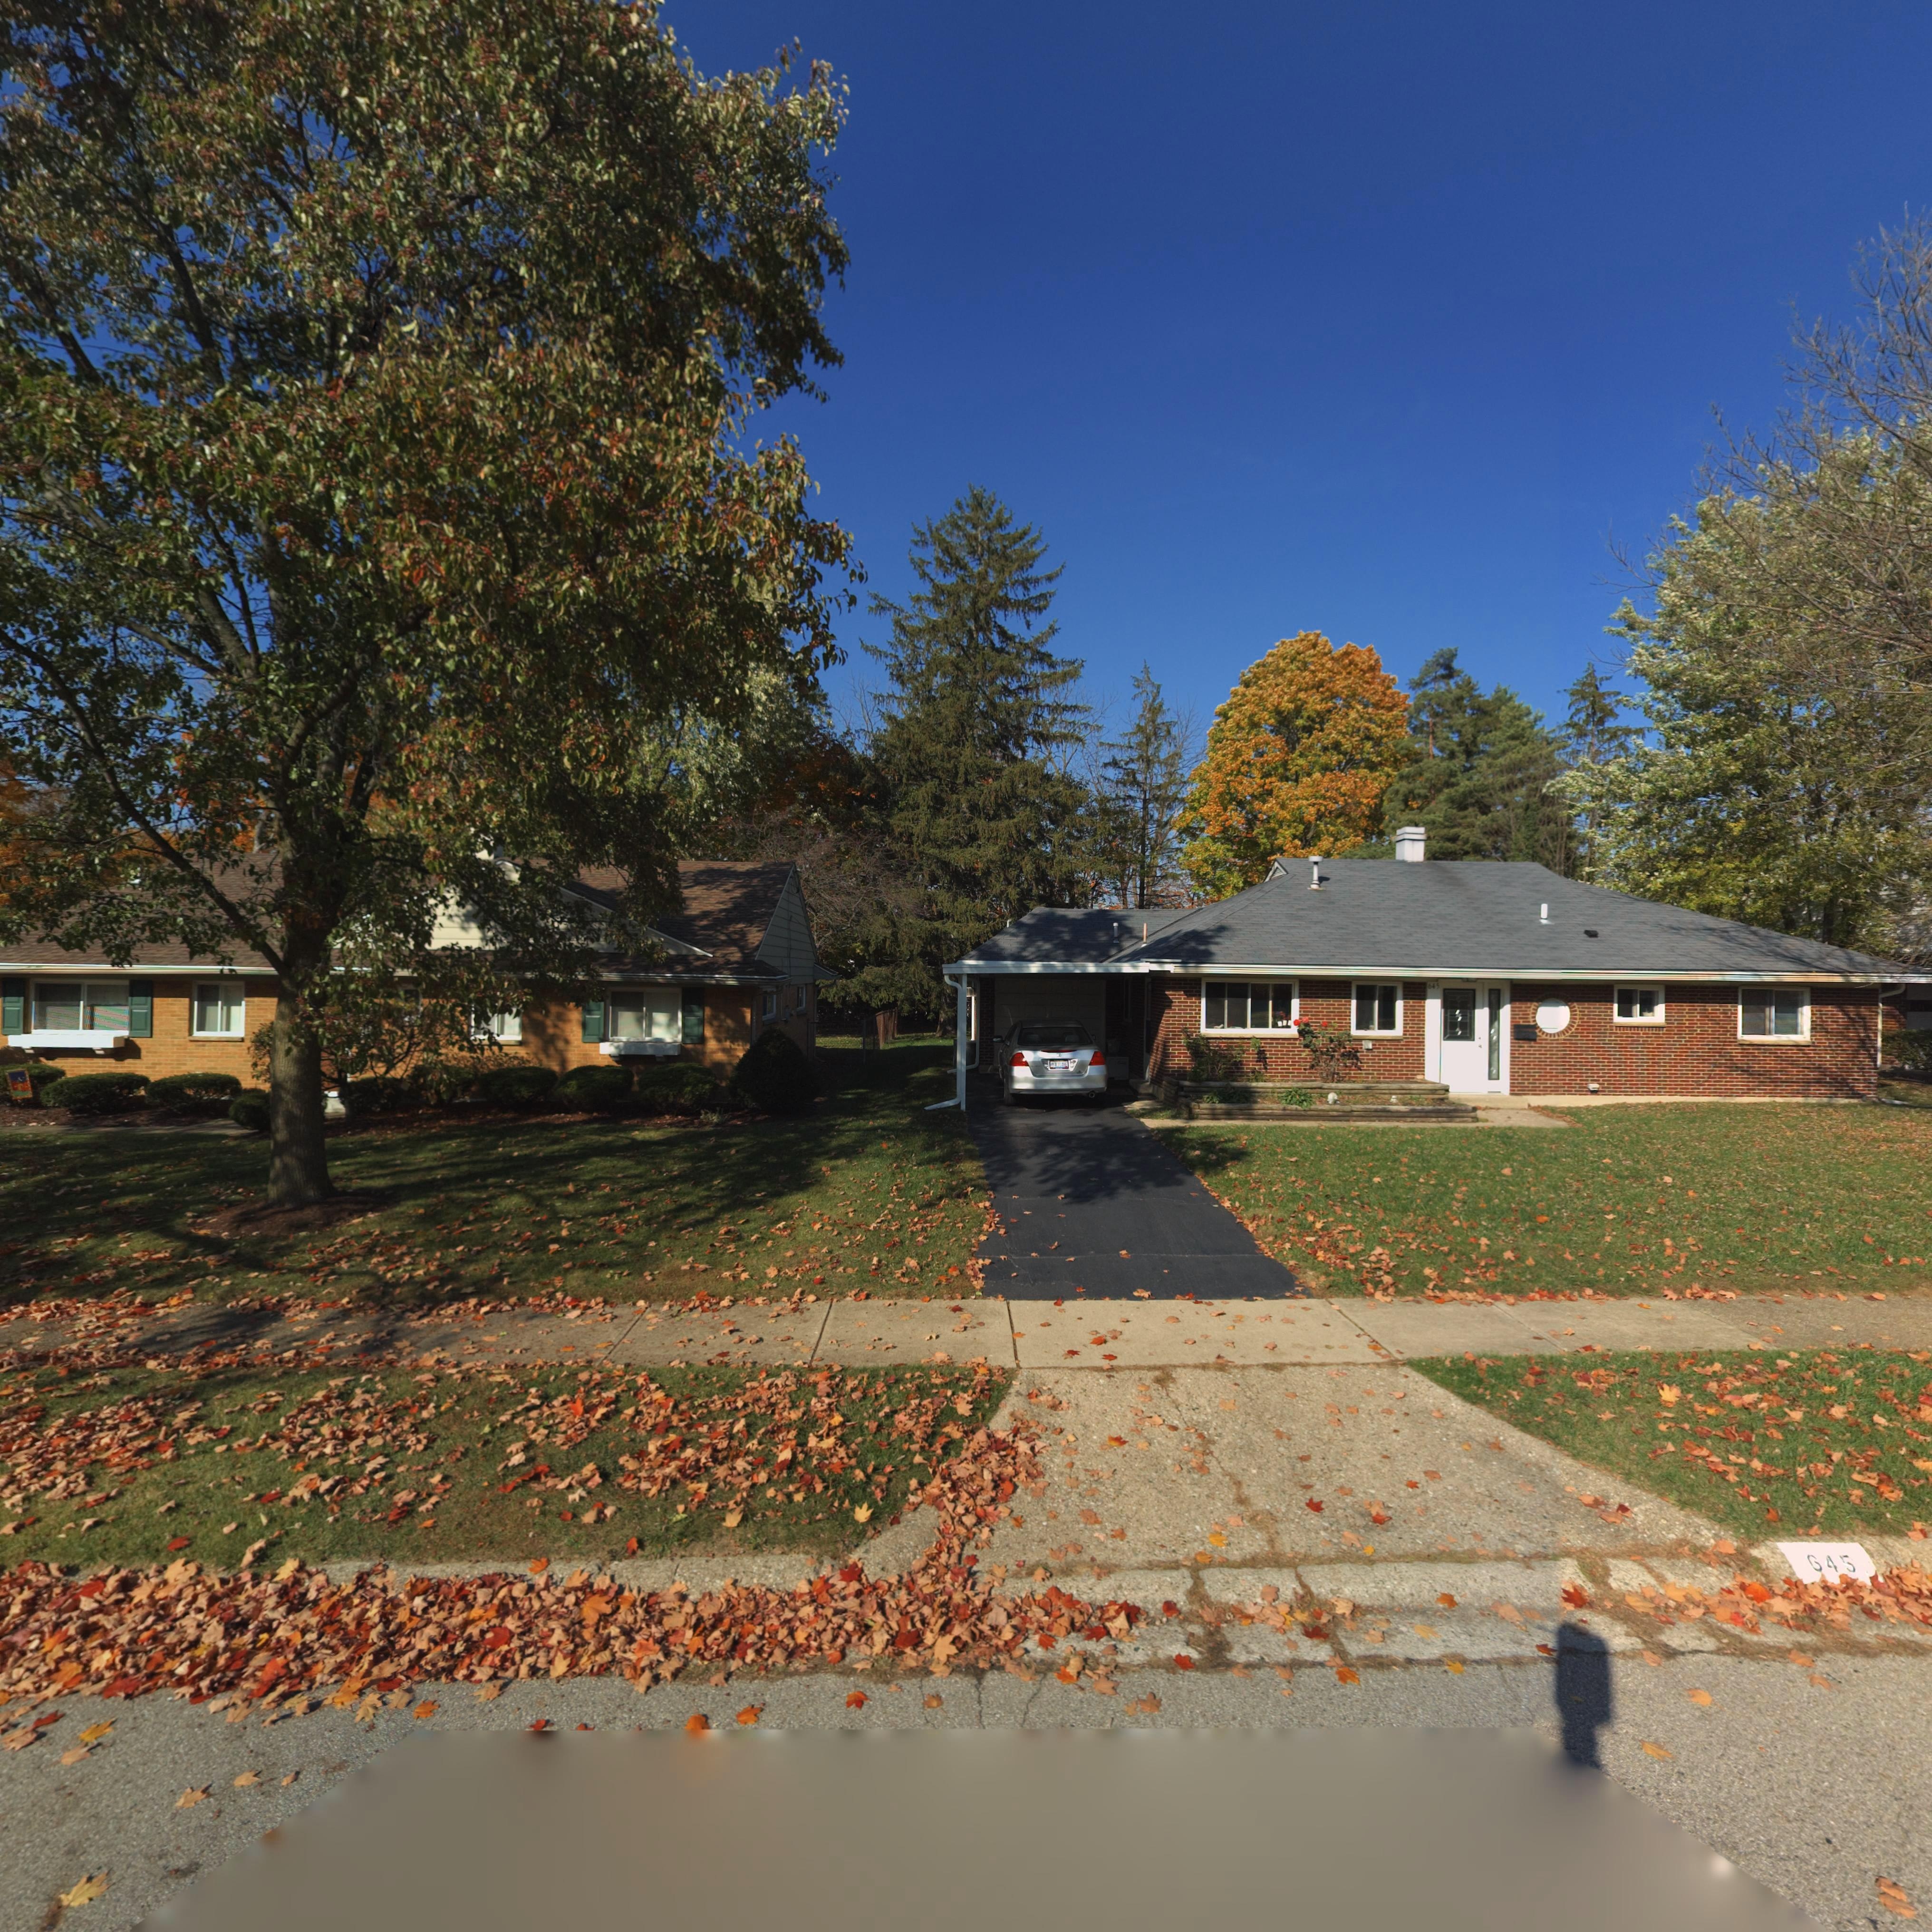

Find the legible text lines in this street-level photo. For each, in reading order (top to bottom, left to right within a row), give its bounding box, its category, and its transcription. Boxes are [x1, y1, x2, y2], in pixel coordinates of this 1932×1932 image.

[1427, 982, 1440, 990] StreetNumber: 645
[1805, 1553, 1860, 1574] StreetNumber: 645